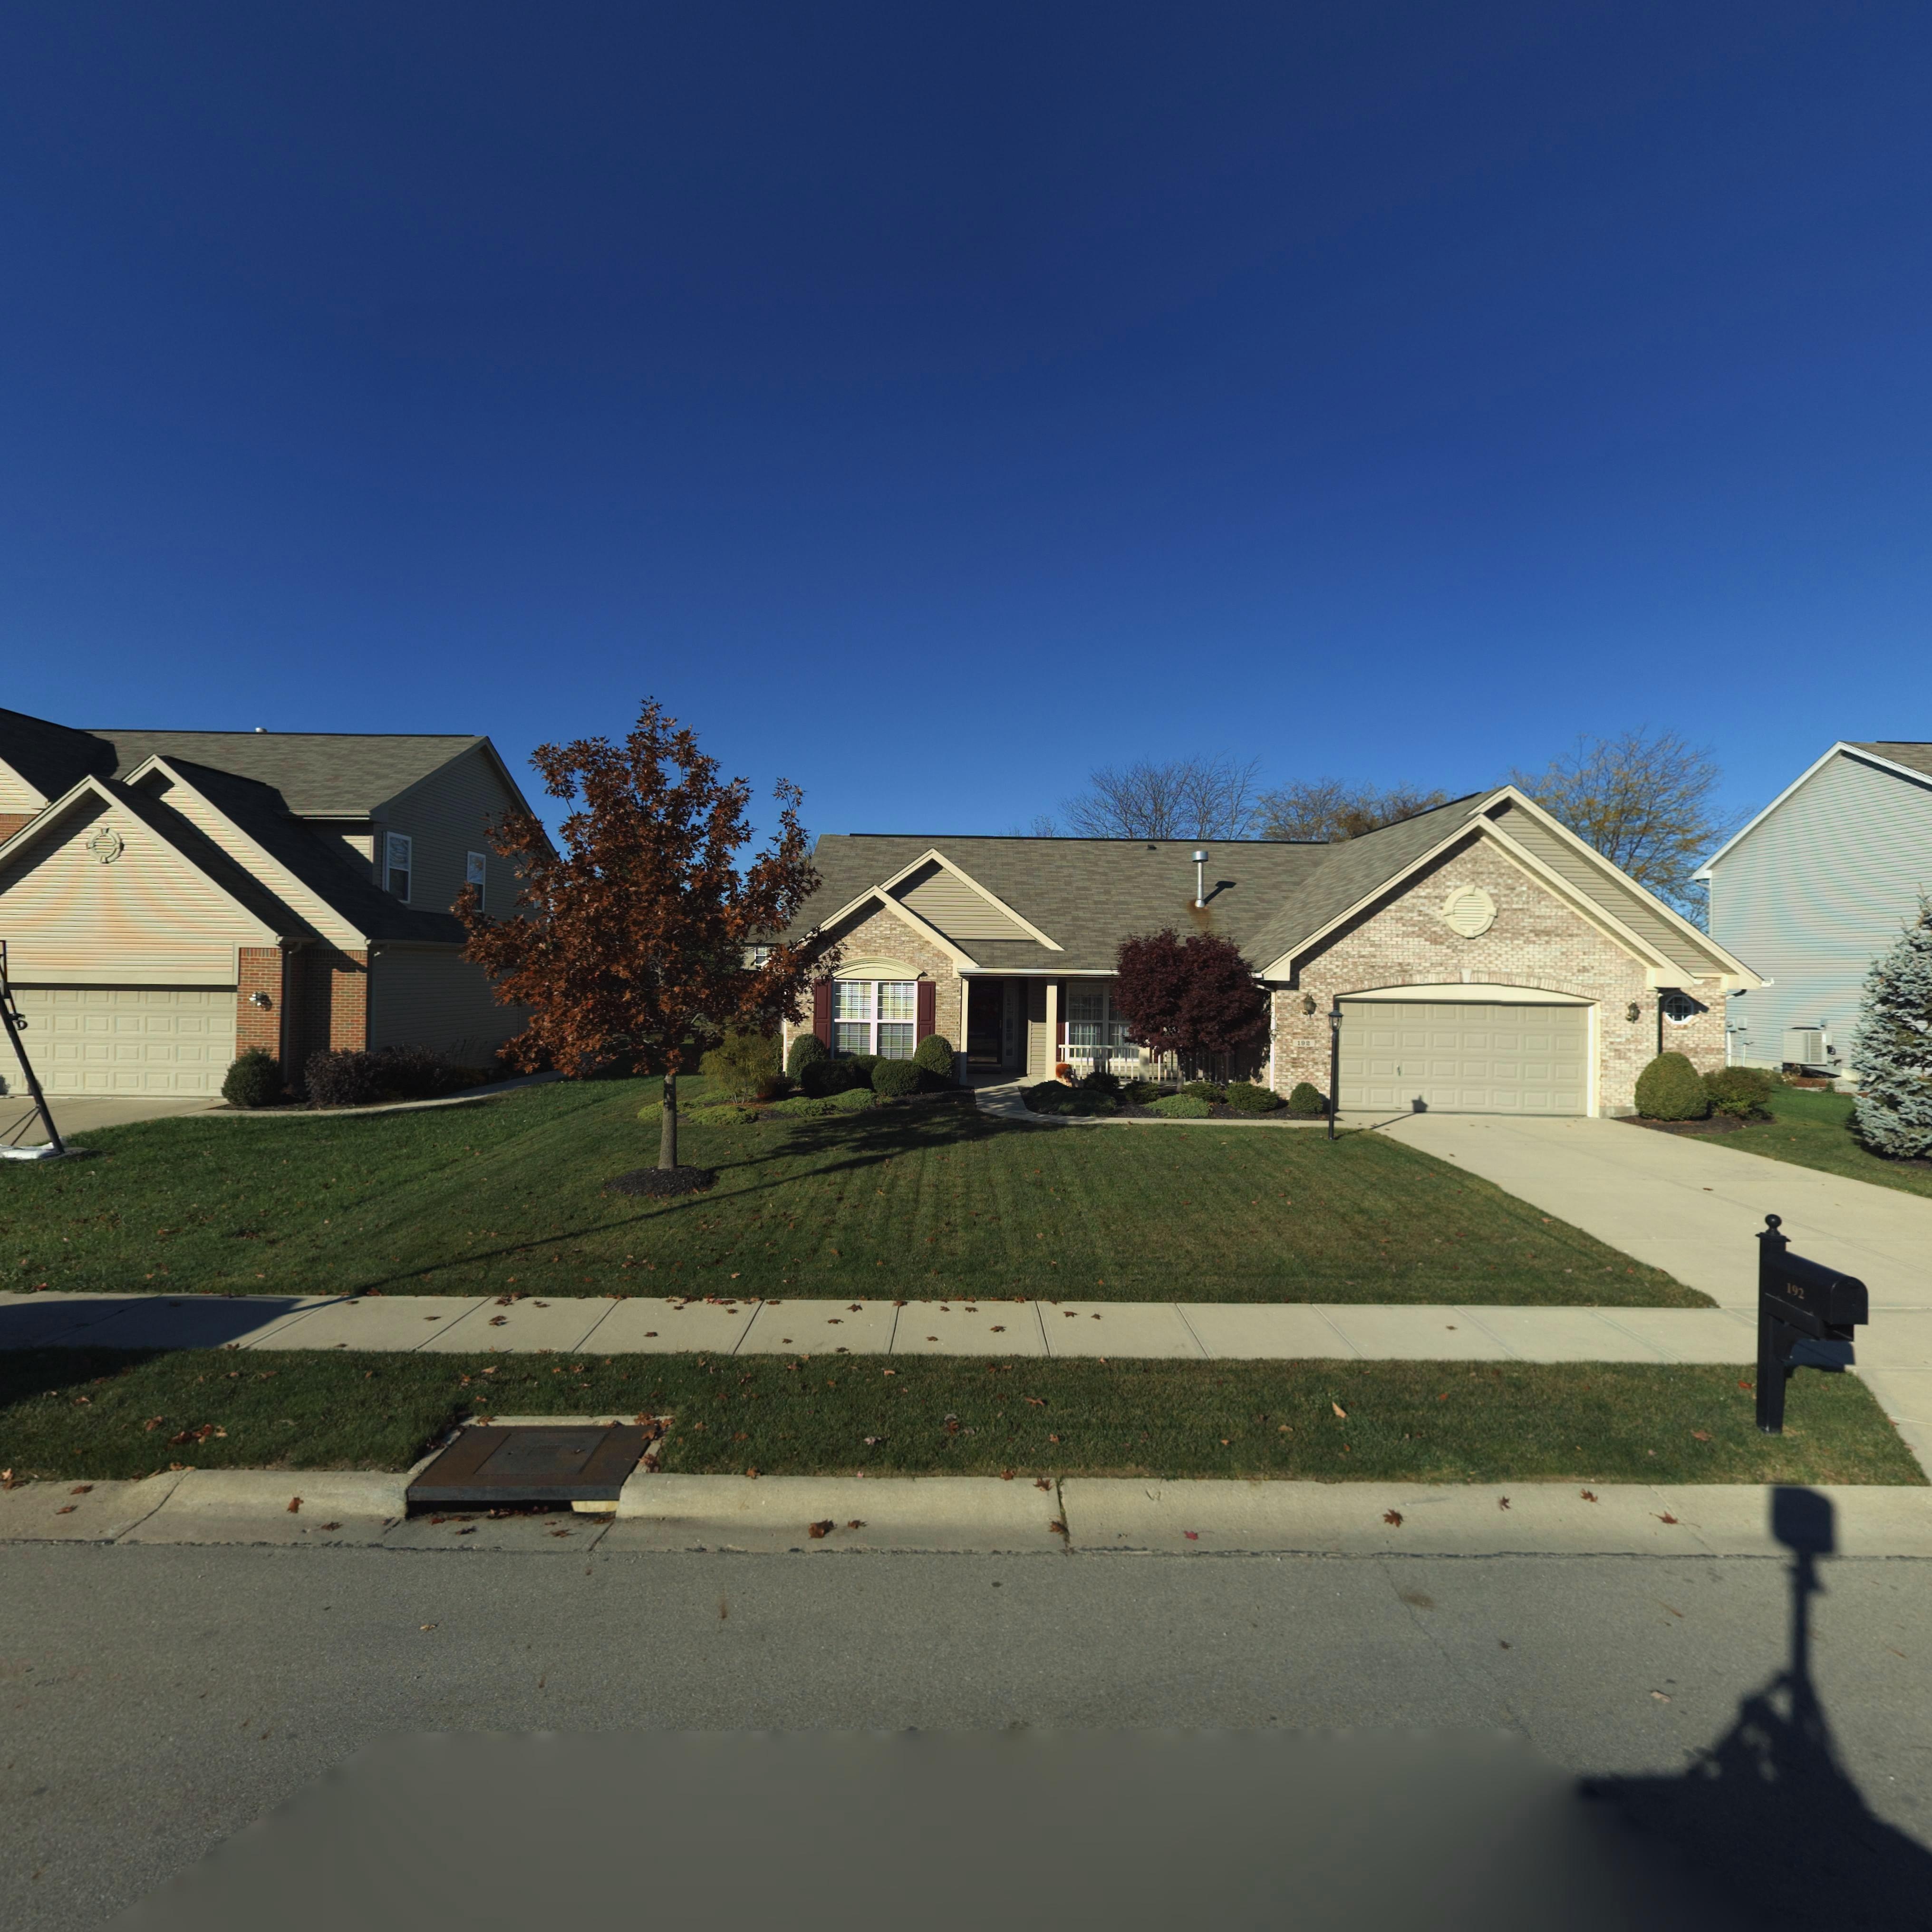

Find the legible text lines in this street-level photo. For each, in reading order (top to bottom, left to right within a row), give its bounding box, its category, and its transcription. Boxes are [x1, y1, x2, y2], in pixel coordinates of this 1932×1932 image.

[1296, 1040, 1311, 1046] StreetNumber: 192
[1786, 1281, 1805, 1300] StreetNumber: 192